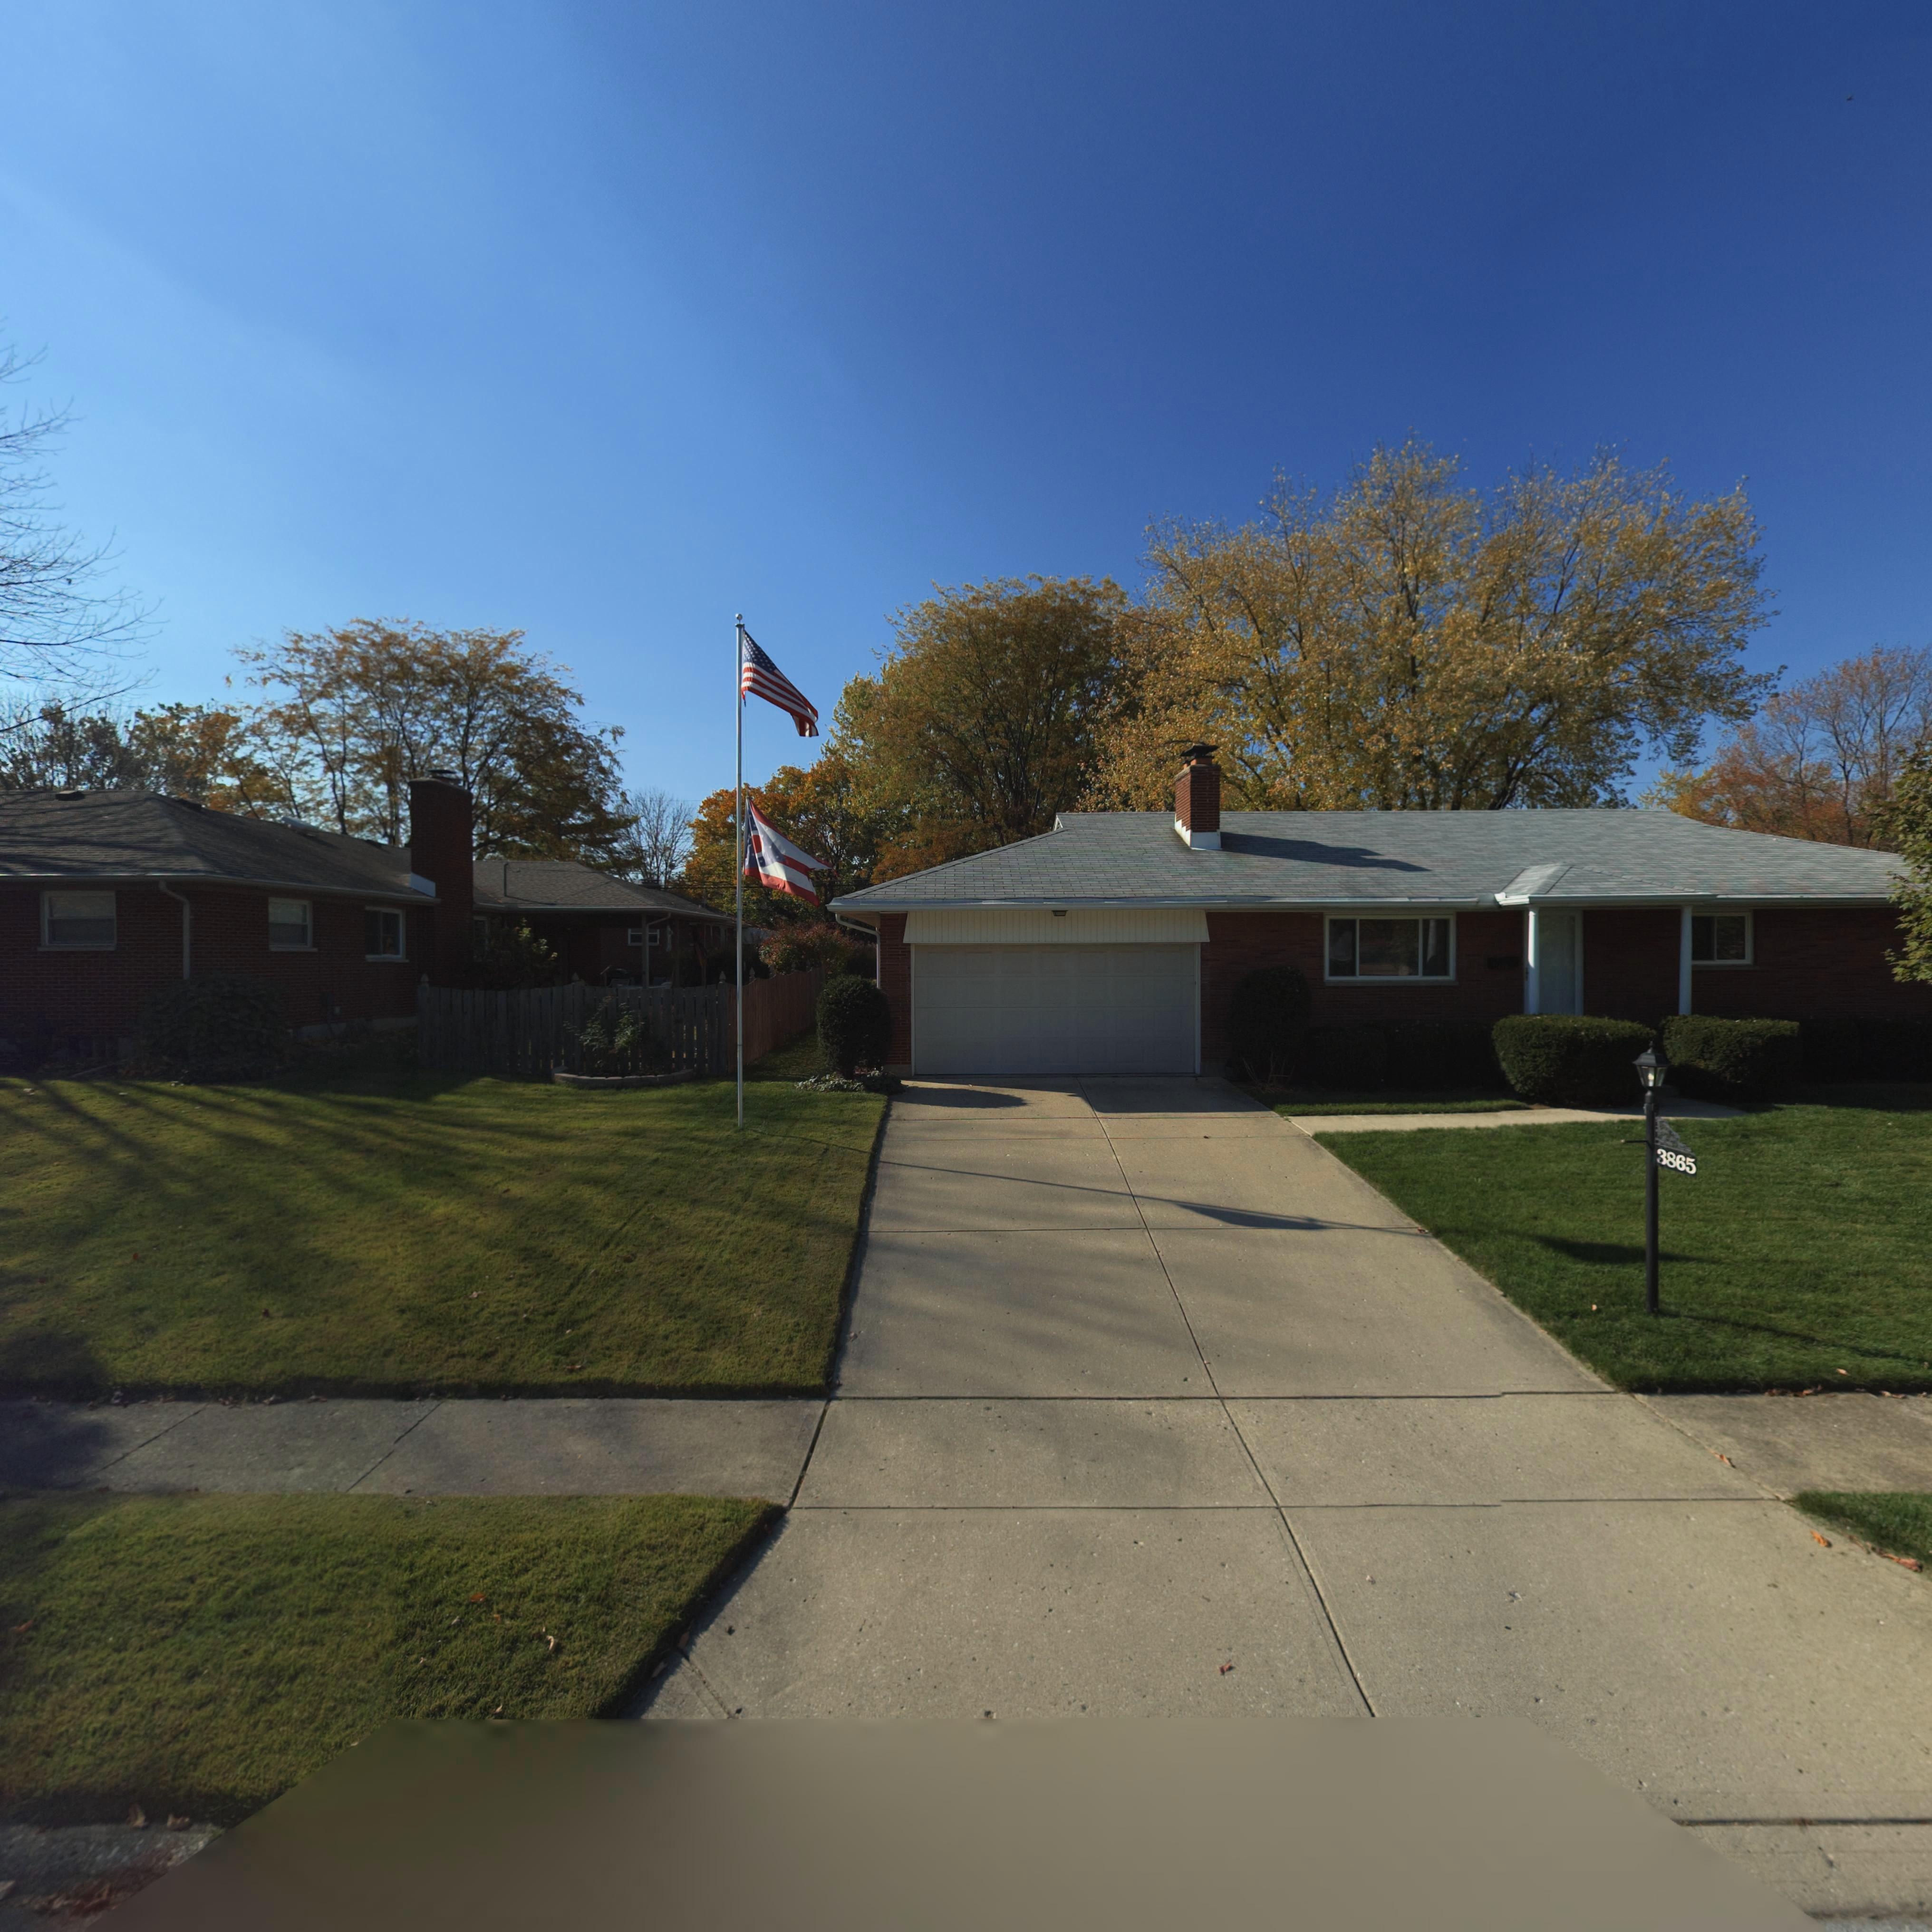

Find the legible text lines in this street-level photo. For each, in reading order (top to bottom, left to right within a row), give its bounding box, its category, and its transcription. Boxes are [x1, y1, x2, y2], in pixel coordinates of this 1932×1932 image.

[1656, 1146, 1697, 1177] StreetNumber: 3865